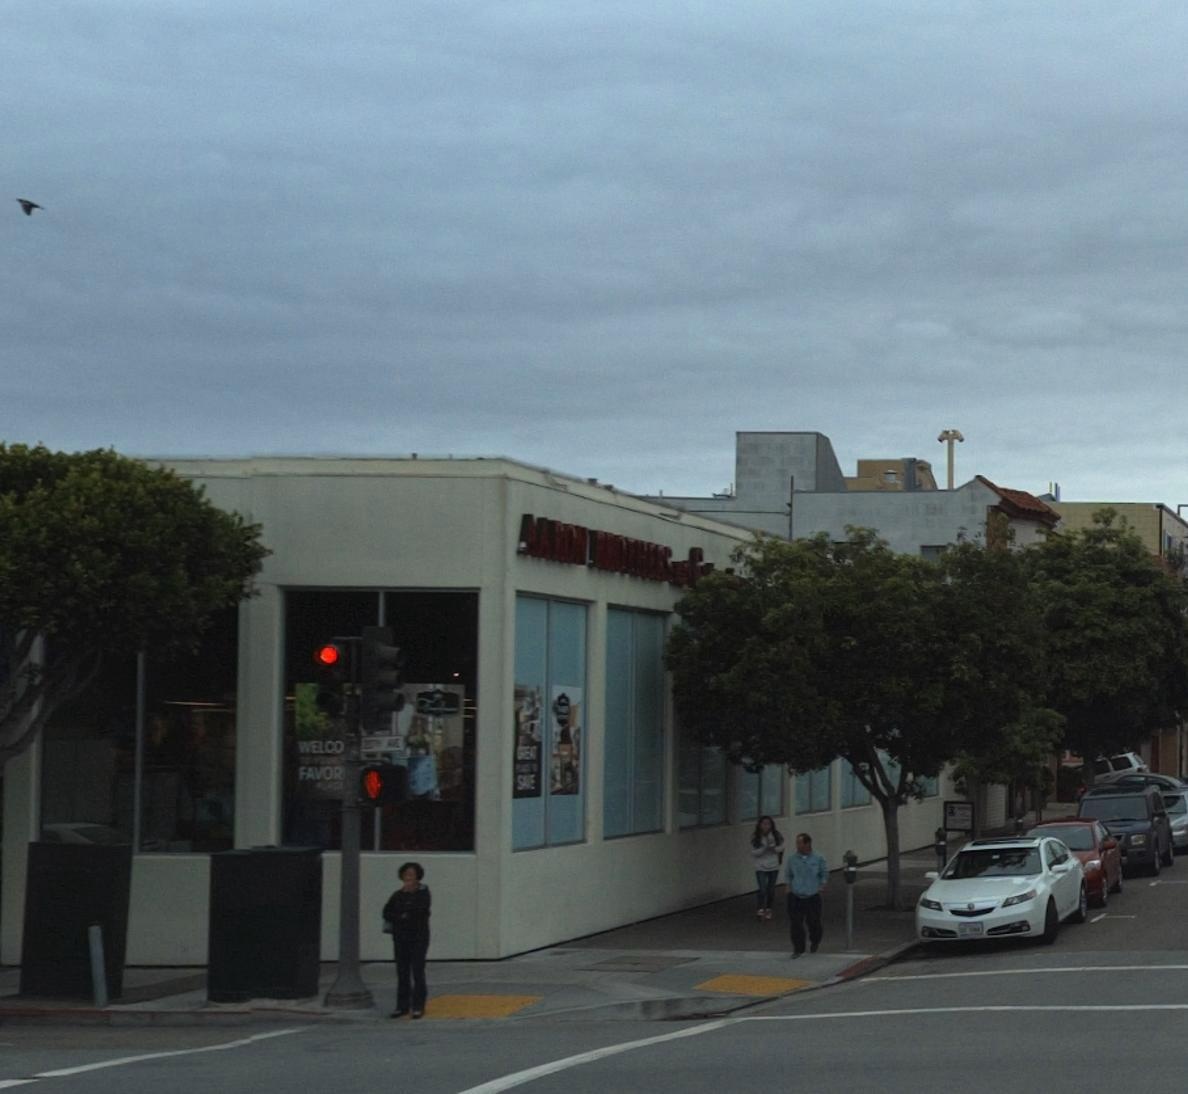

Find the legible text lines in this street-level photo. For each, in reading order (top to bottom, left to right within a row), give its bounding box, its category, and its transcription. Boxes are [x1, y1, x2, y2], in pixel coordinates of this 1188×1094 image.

[514, 509, 591, 568] BusinessName: AARON
[295, 738, 347, 757] None: WELCO
[296, 763, 346, 784] None: FAVOR
[515, 771, 526, 792] None: S